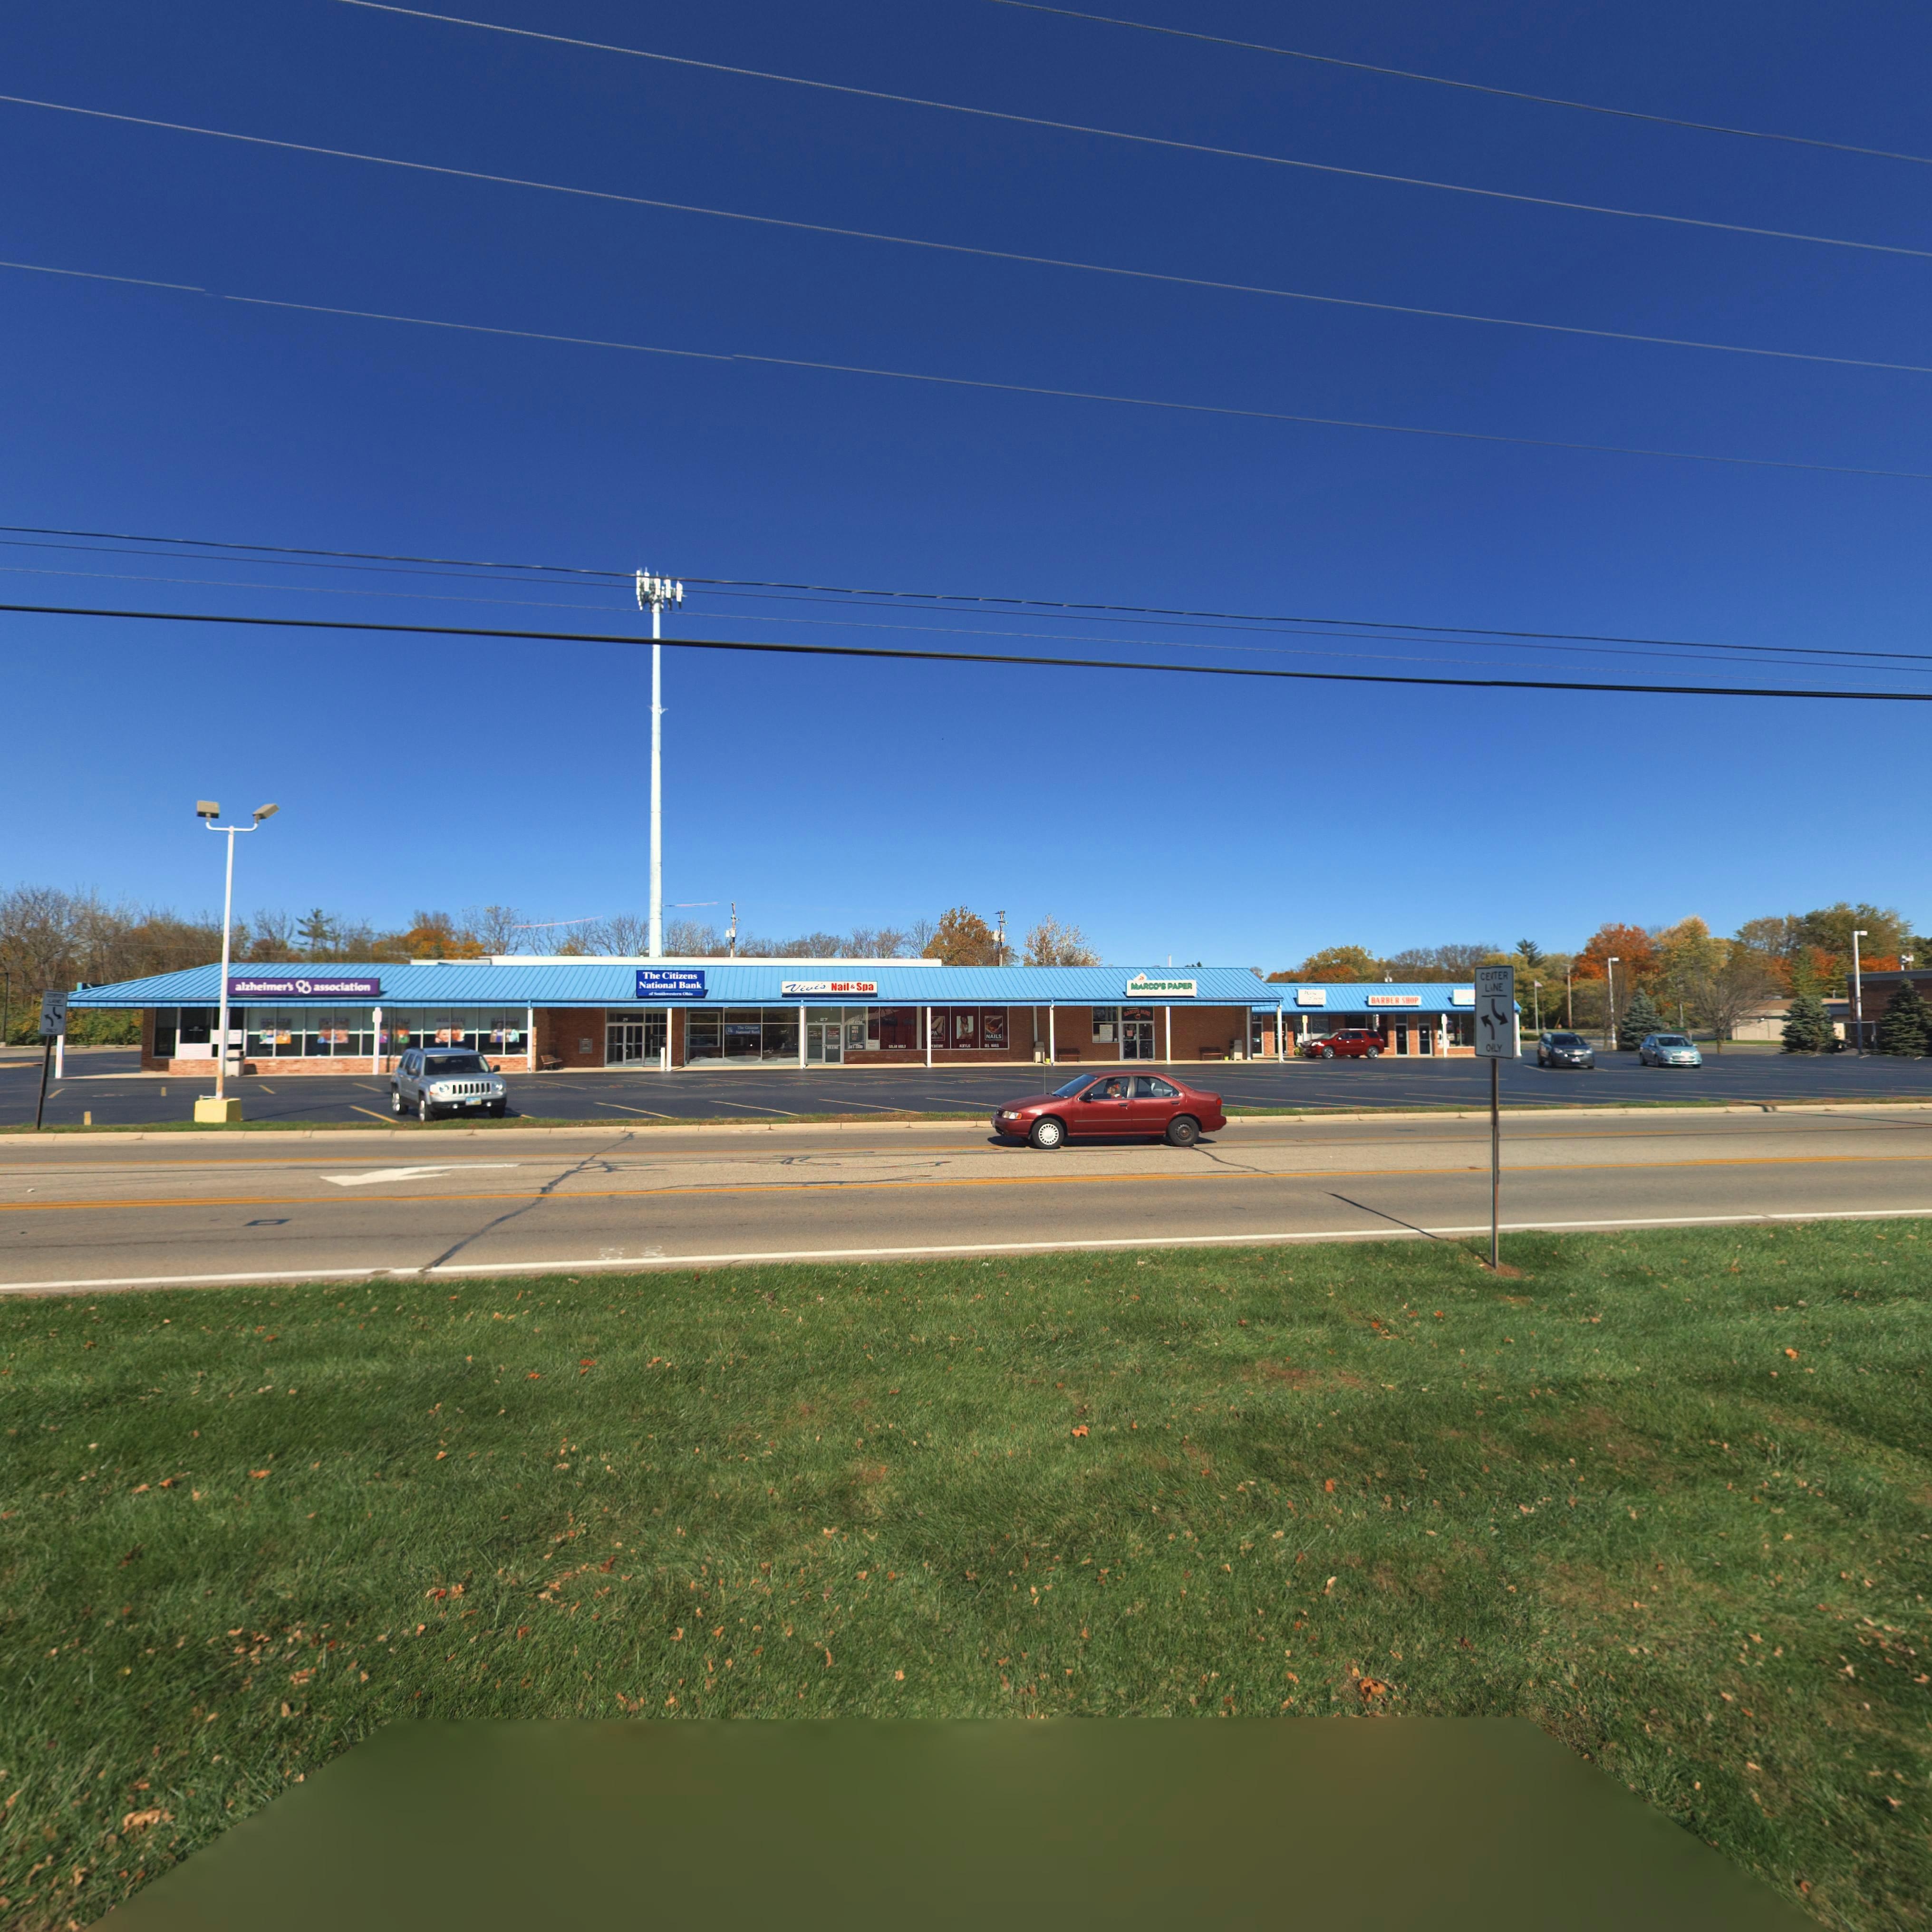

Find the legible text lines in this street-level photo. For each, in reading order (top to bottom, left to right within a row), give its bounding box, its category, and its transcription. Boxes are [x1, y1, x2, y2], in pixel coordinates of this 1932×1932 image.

[642, 971, 698, 980] BusinessName: The Citizens
[1479, 971, 1509, 981] None: CE*TER
[234, 981, 371, 992] BusinessName: alzheimer's * association
[638, 981, 703, 989] BusinessName: National Bank
[784, 982, 874, 992] BusinessName: Vivi's Nail & Spa
[1130, 982, 1193, 990] BusinessName: MARCO'S PAPER
[1484, 982, 1504, 993] None: L*NE
[1371, 996, 1419, 1005] BusinessName: BARBER SHOP
[819, 1017, 829, 1022] StreetNumber: *7
[1312, 1022, 1320, 1029] BusinessName: E
[931, 1030, 939, 1036] None: PA
[985, 1034, 1002, 1039] None: NAILS
[1485, 1043, 1504, 1053] None: O*LY